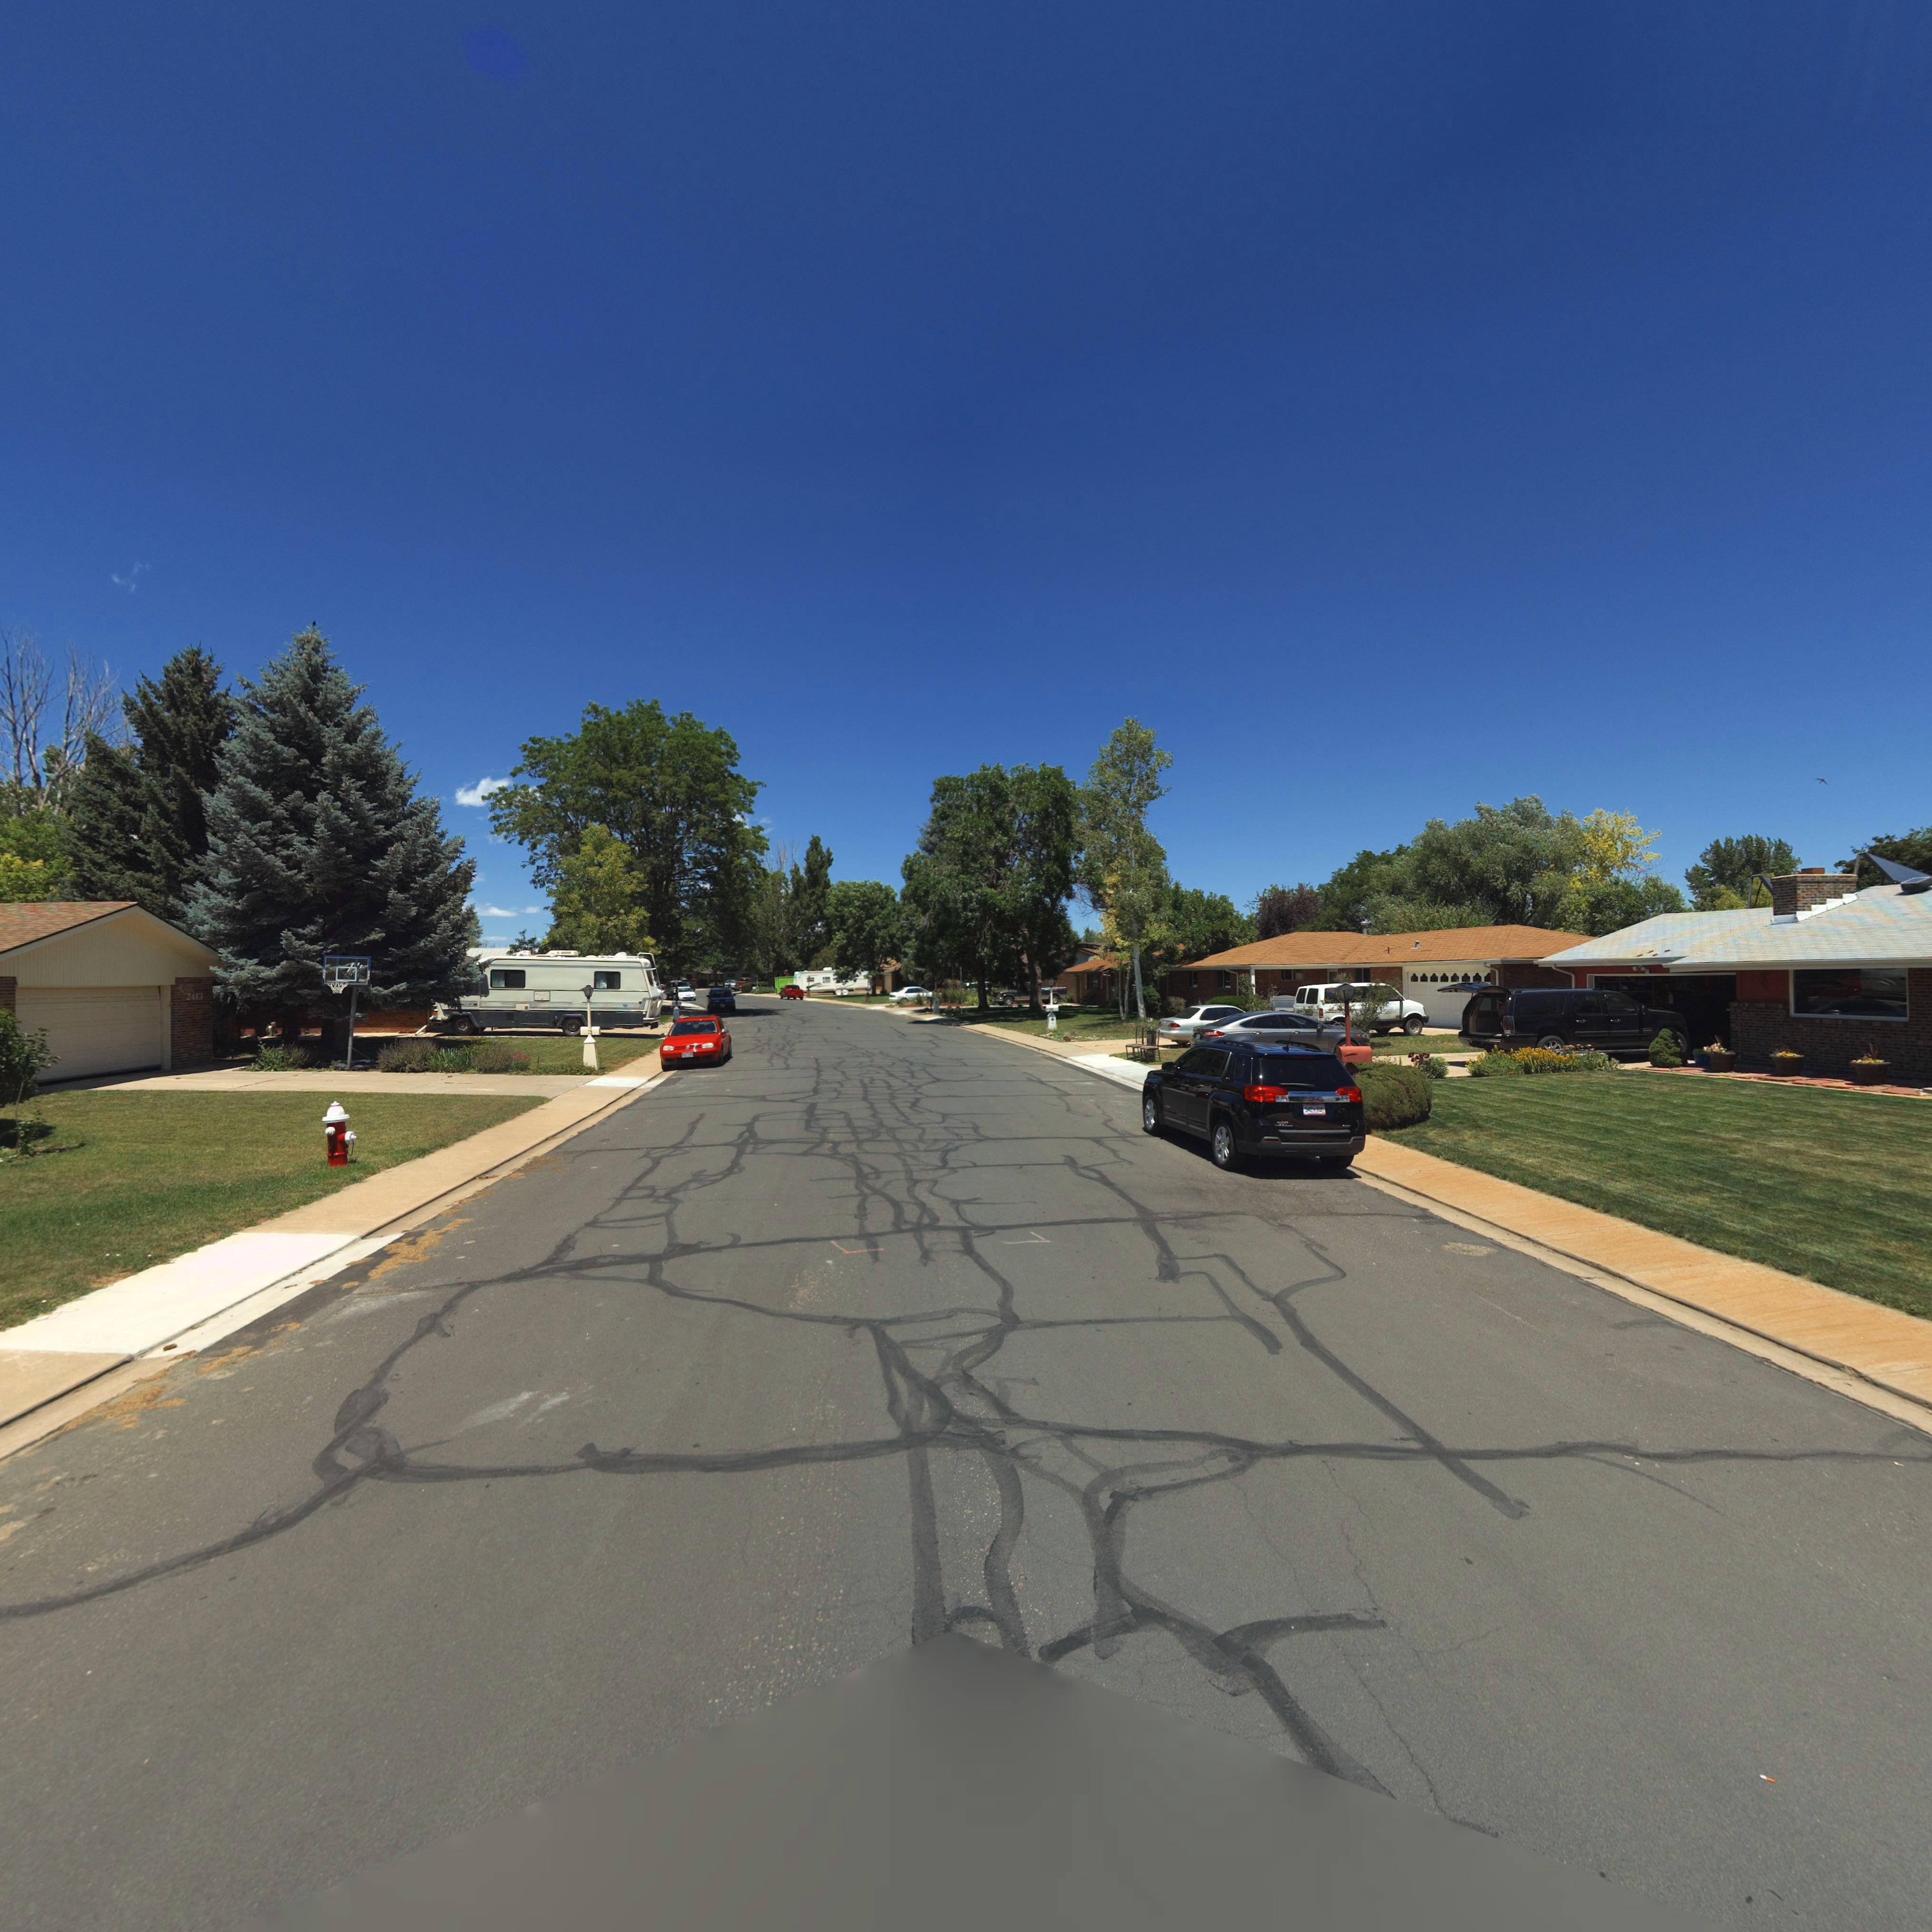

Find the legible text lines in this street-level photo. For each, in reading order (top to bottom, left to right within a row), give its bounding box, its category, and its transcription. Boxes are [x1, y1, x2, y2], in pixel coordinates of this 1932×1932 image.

[186, 992, 203, 1000] StreetNumber: 2413